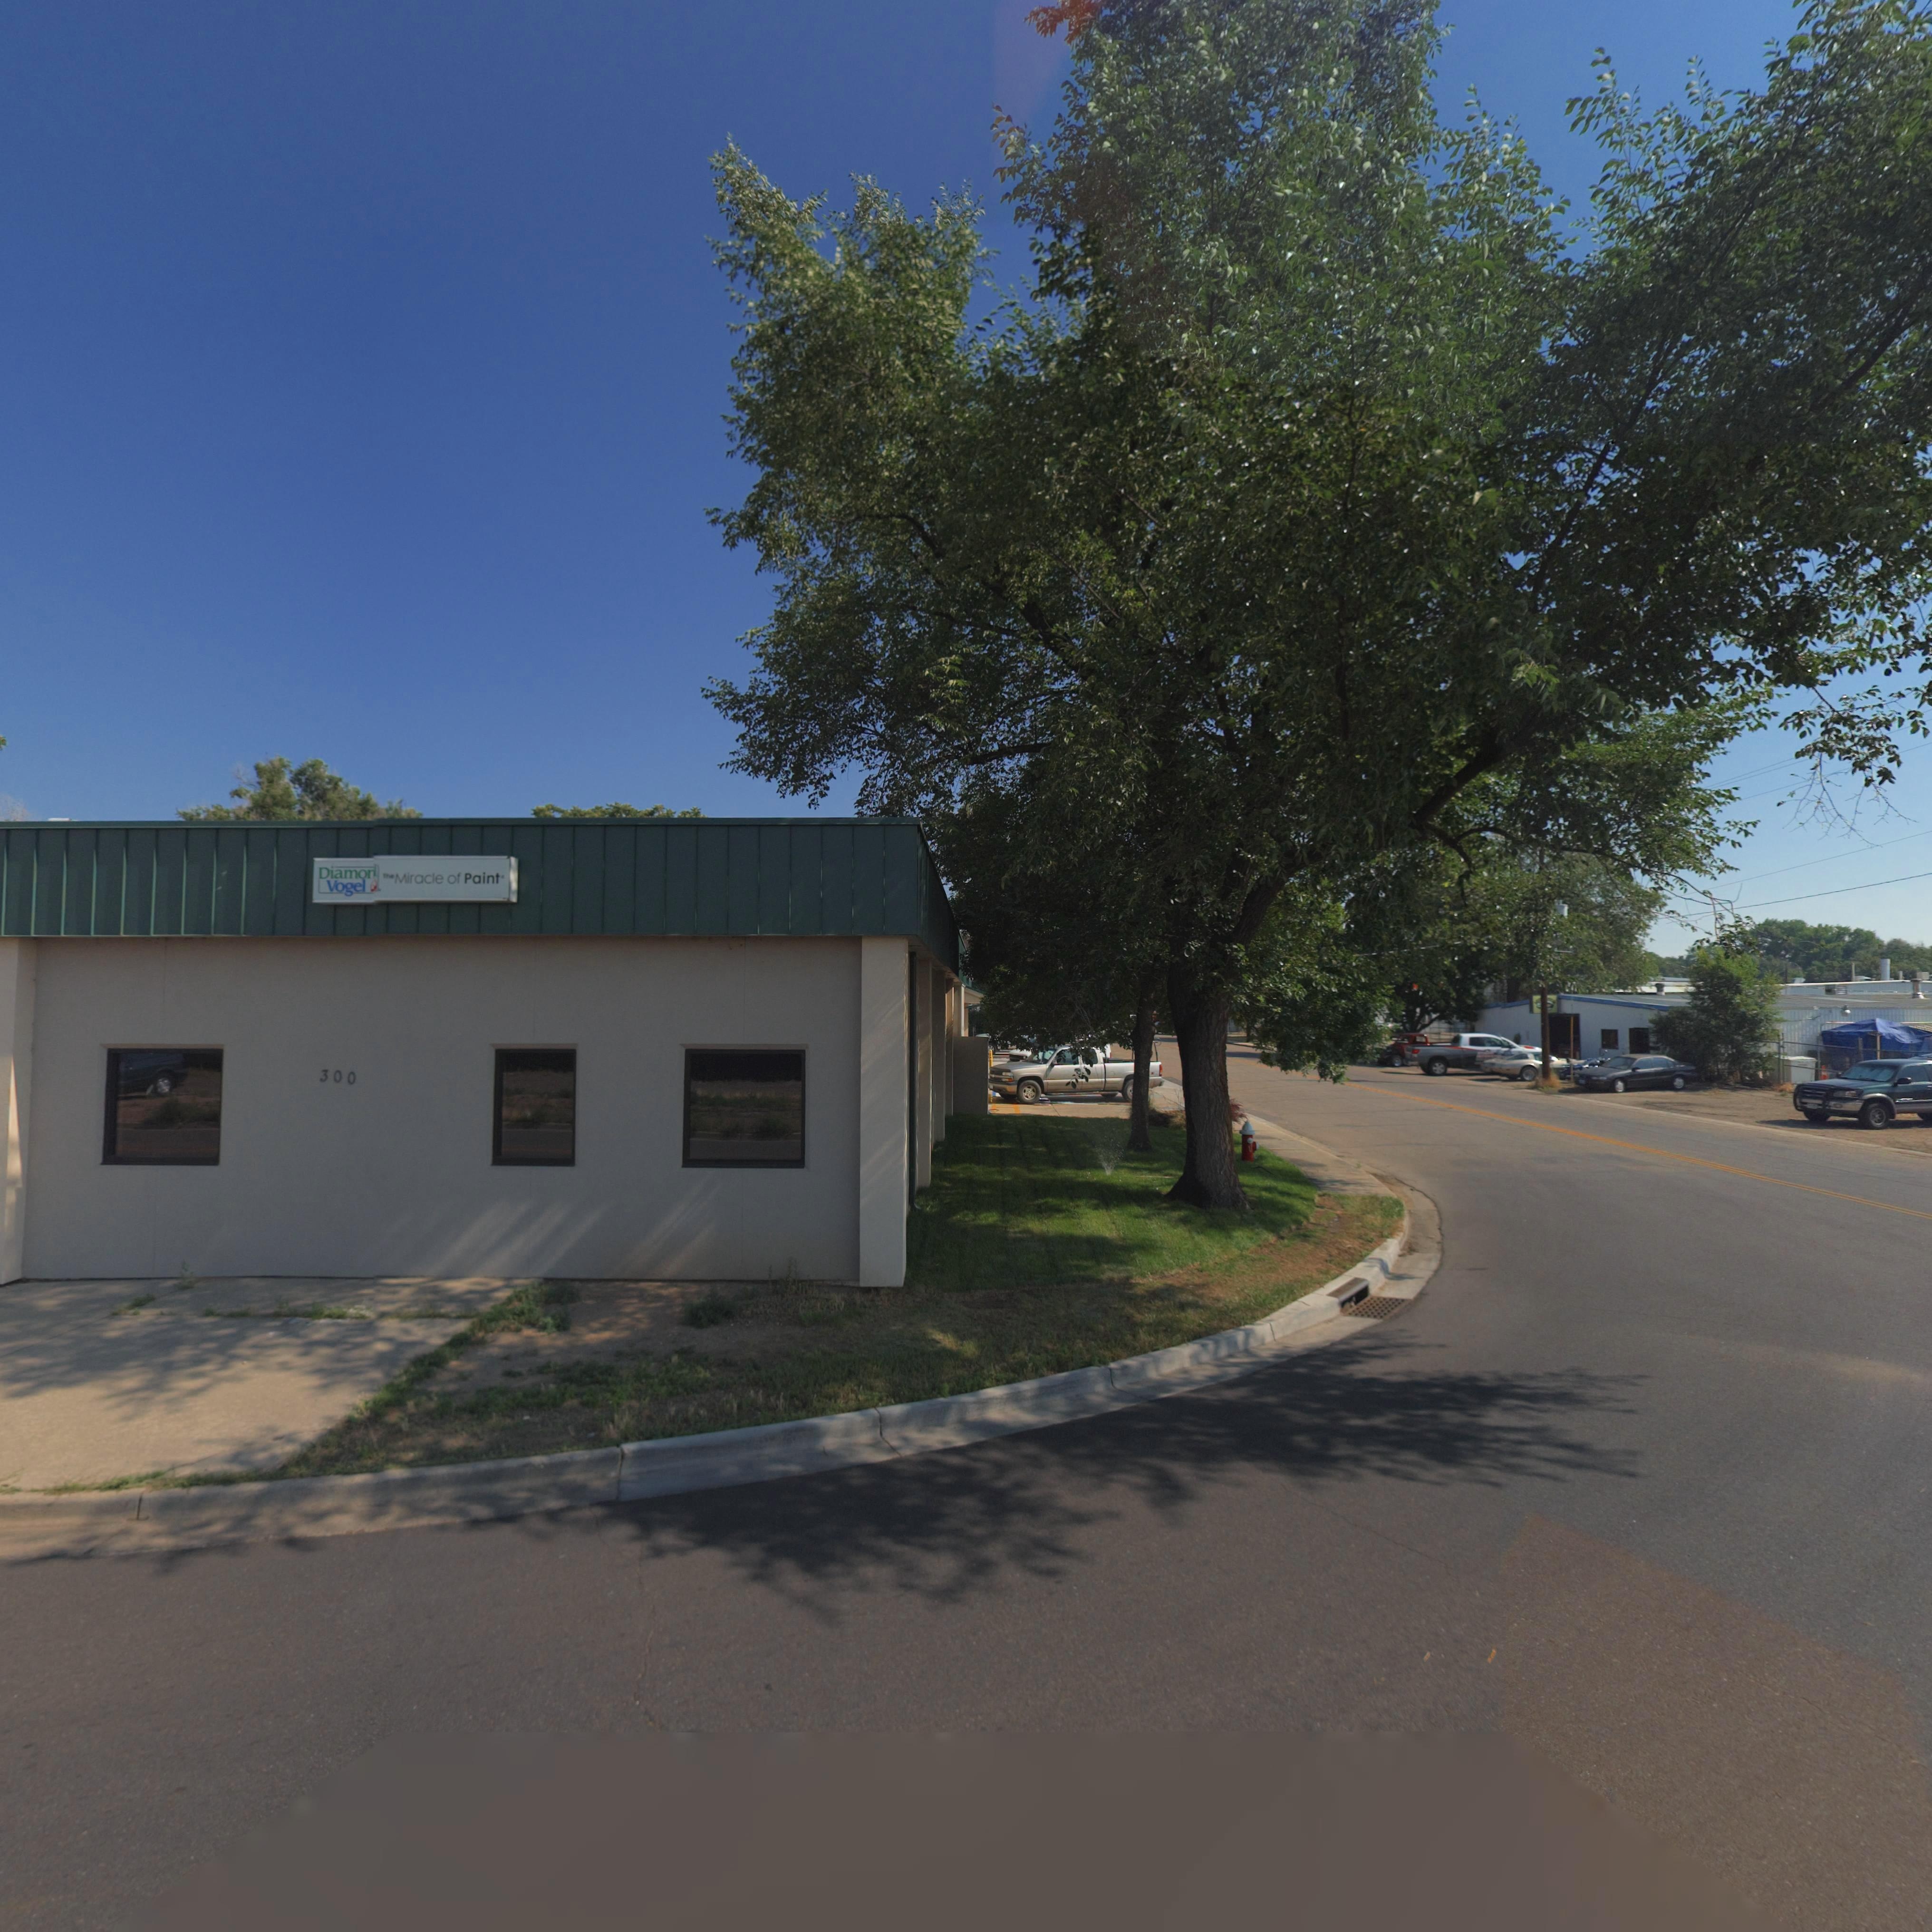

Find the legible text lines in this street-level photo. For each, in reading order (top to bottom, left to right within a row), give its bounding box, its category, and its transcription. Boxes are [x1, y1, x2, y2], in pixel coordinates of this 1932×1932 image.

[317, 863, 377, 879] BusinessName: Diamon*
[326, 878, 366, 897] BusinessName: Vogel
[318, 1068, 357, 1086] StreetNumber: 300